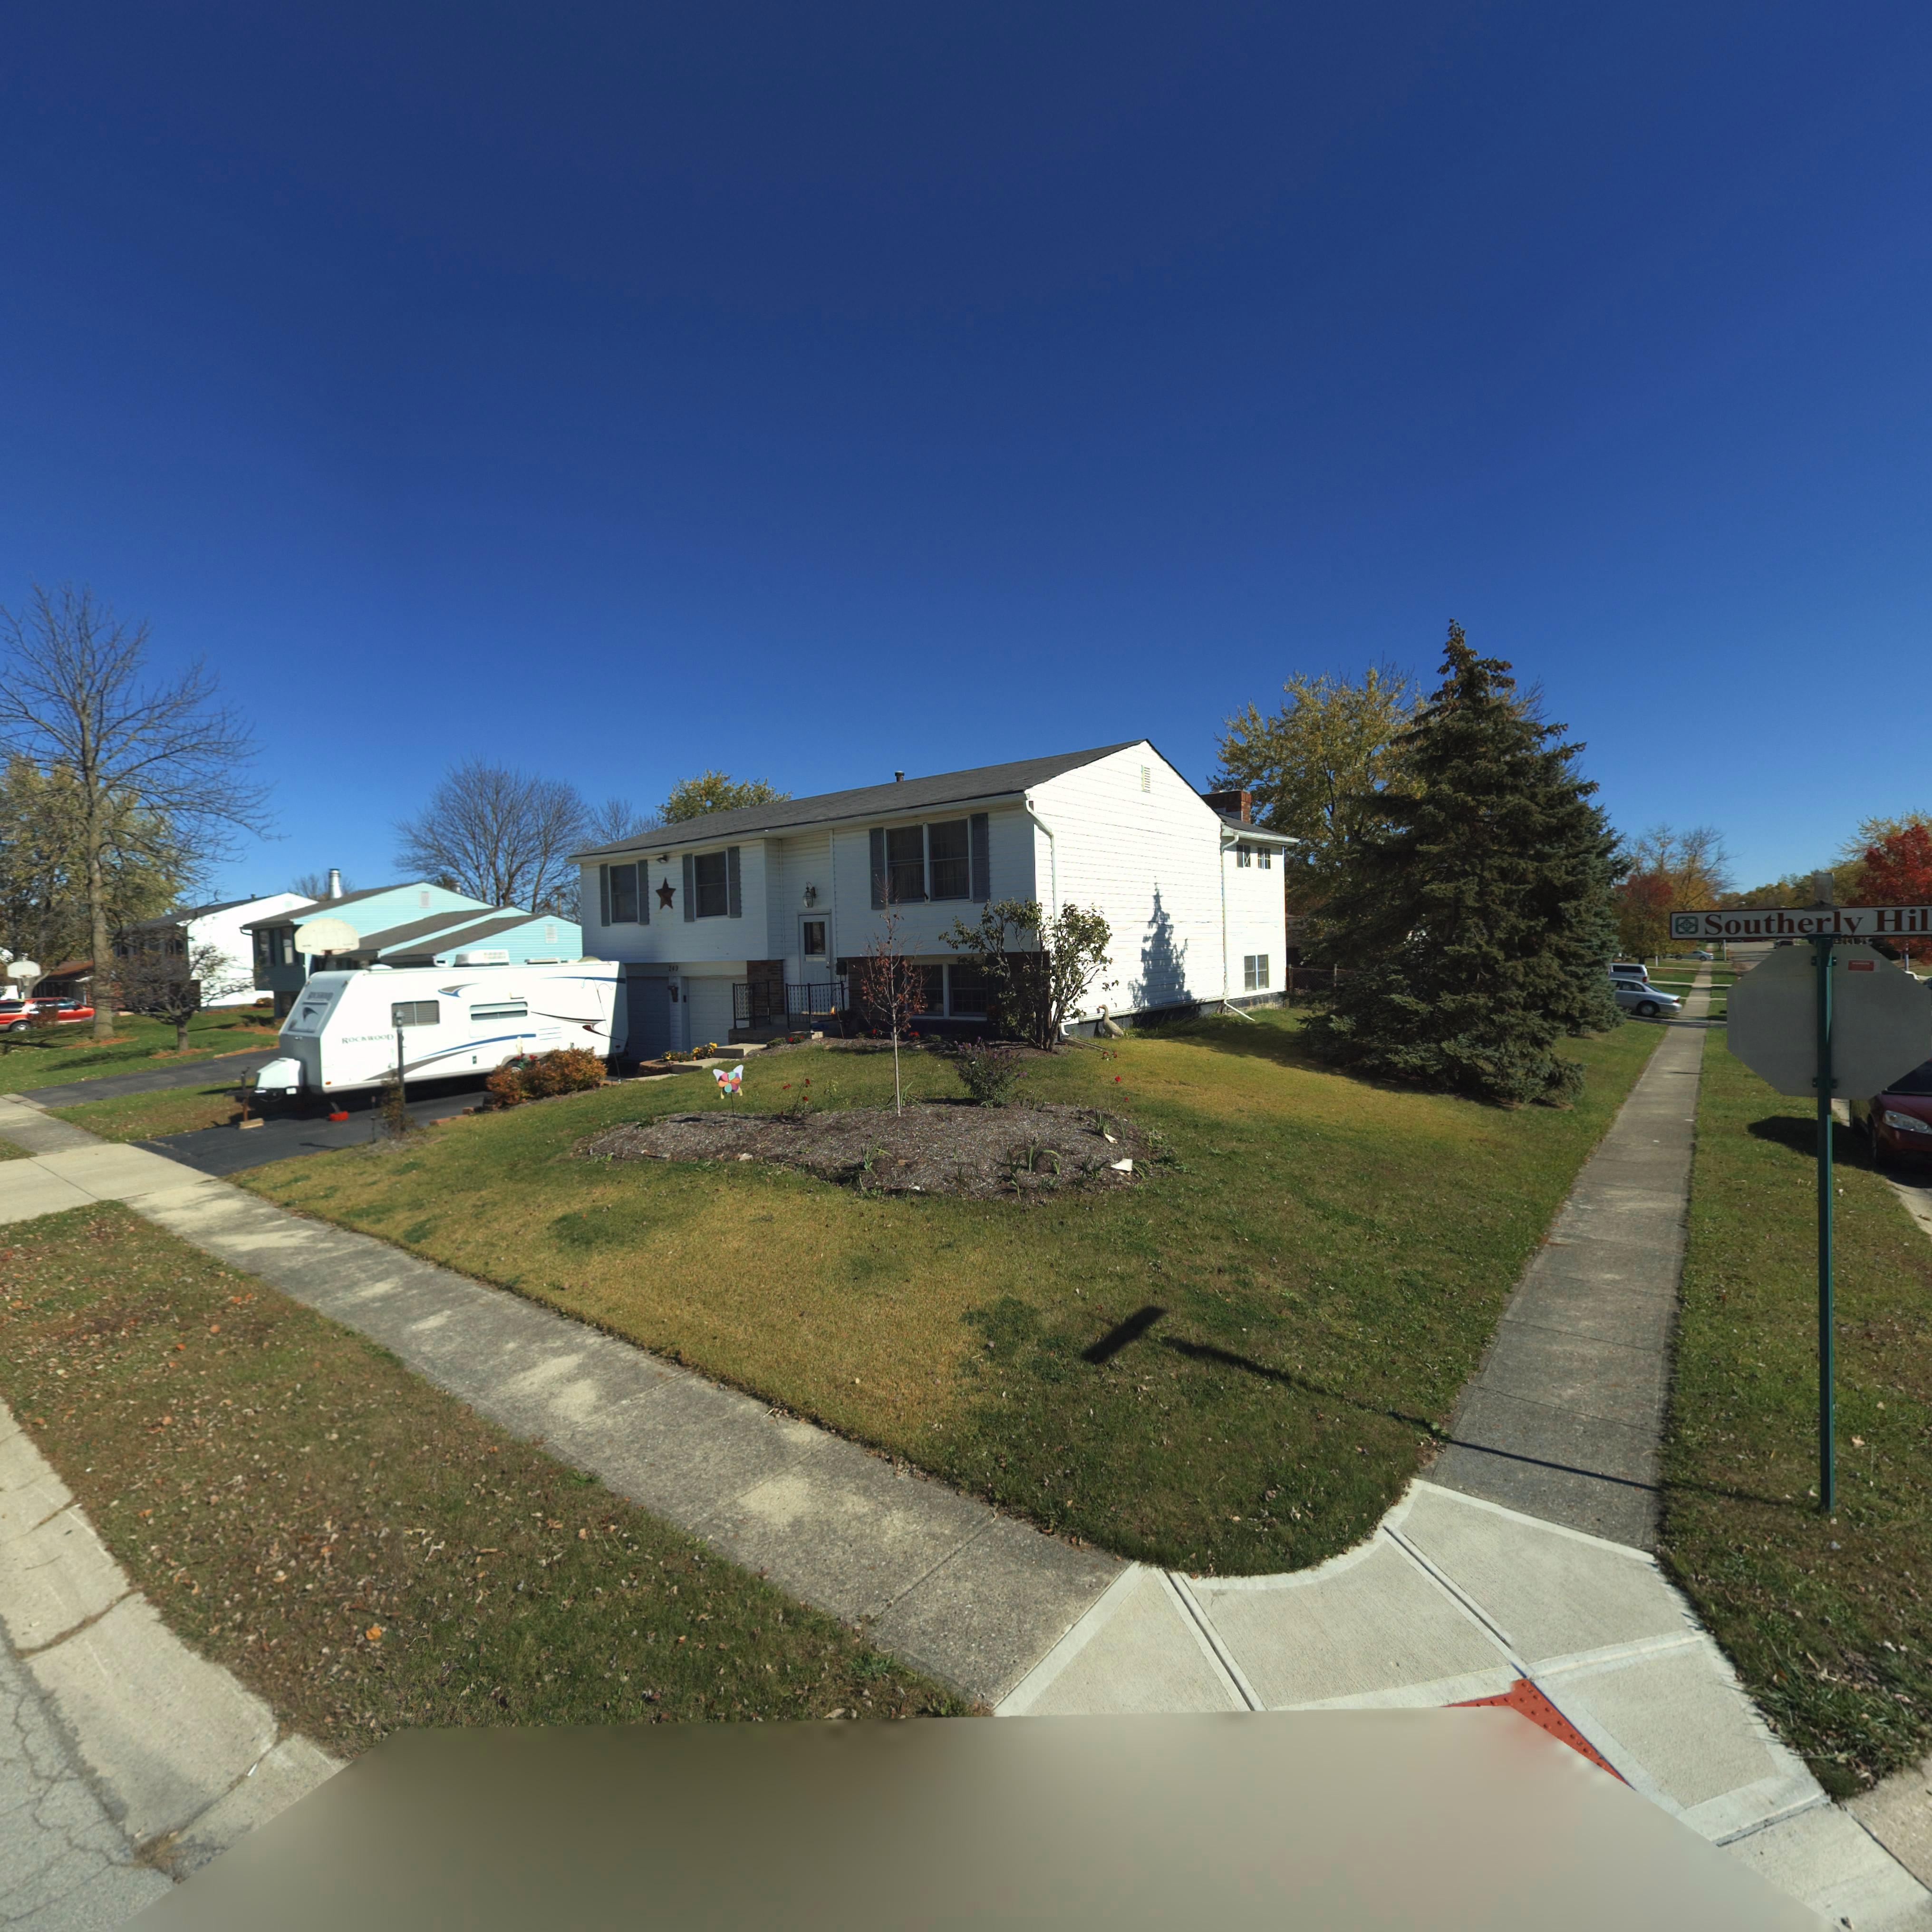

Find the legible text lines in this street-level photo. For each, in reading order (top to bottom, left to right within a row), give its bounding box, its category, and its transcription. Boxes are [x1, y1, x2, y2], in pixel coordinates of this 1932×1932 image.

[667, 965, 679, 972] StreetNumber: 249